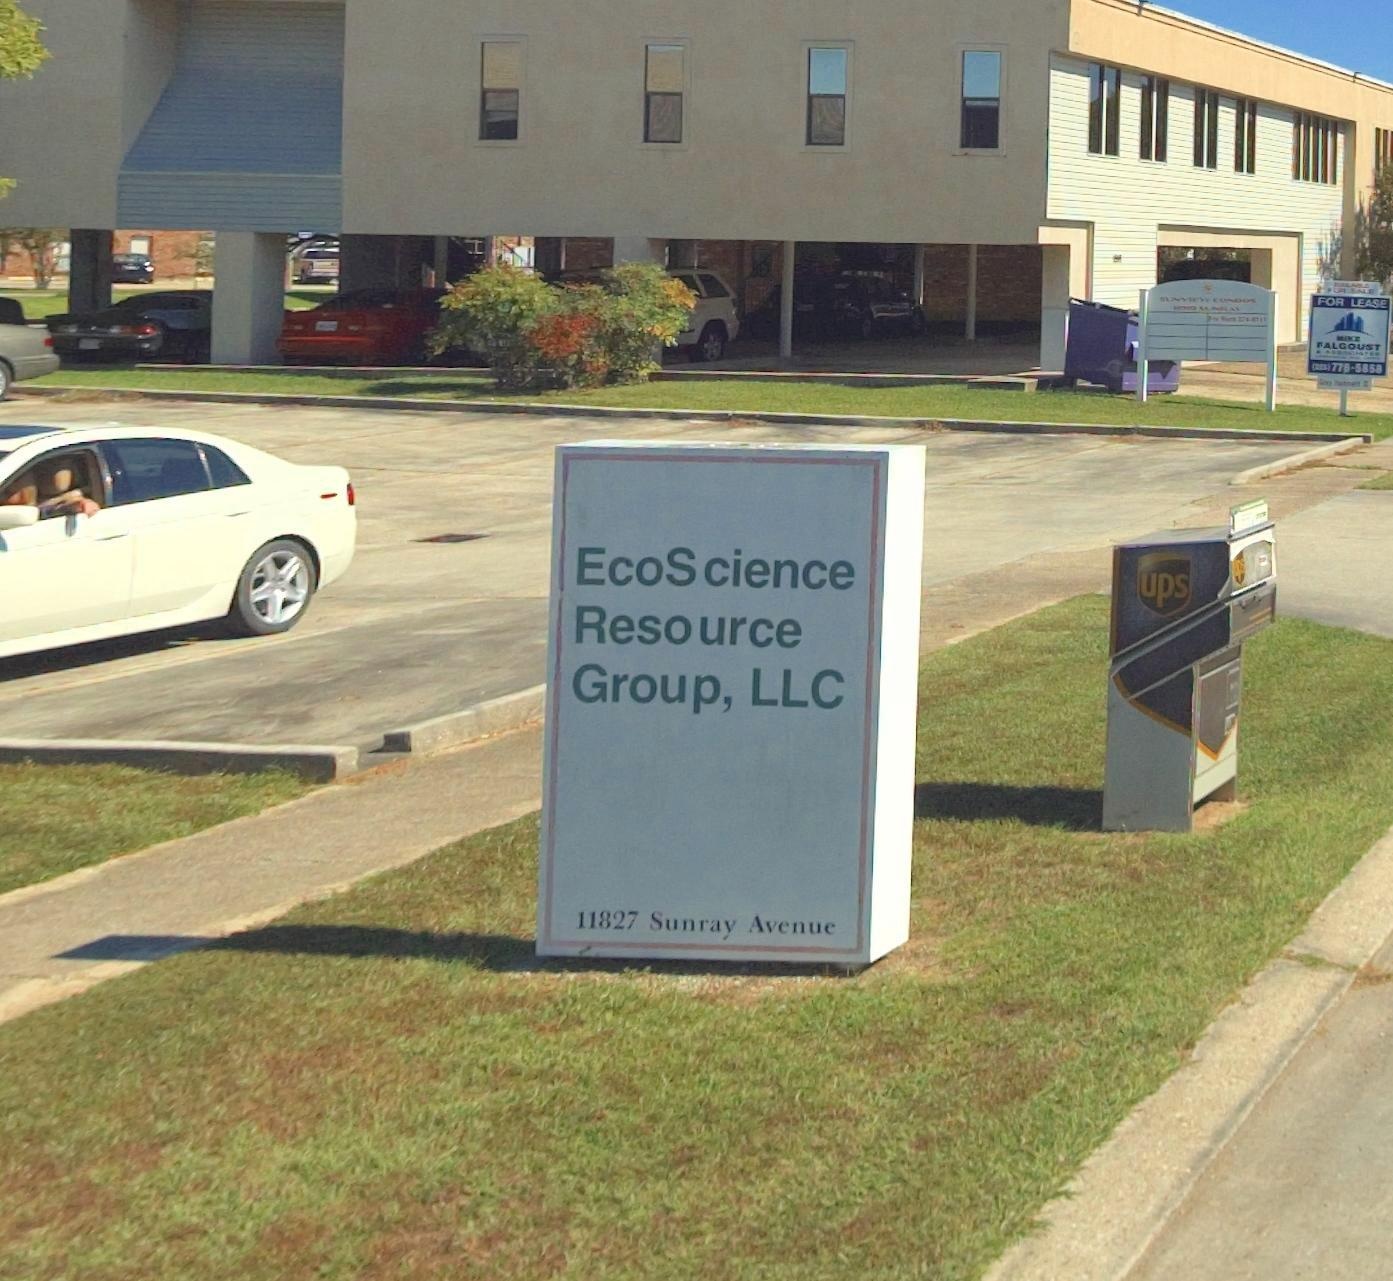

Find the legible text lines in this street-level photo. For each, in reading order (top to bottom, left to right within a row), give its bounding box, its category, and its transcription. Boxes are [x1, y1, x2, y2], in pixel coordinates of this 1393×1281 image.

[1316, 295, 1390, 310] None: FOR LEASE
[1314, 339, 1382, 353] None: *ALCOUST
[1329, 359, 1385, 377] None: 77*-5858
[572, 542, 862, 596] BusinessName: EcoScience
[1138, 568, 1191, 611] None: UPS
[572, 602, 805, 653] BusinessName: Resource
[564, 659, 852, 720] BusinessName: Group, LLC
[573, 908, 645, 934] StreetNumber: 11827
[644, 906, 839, 945] StreetName: Sunray Avenue